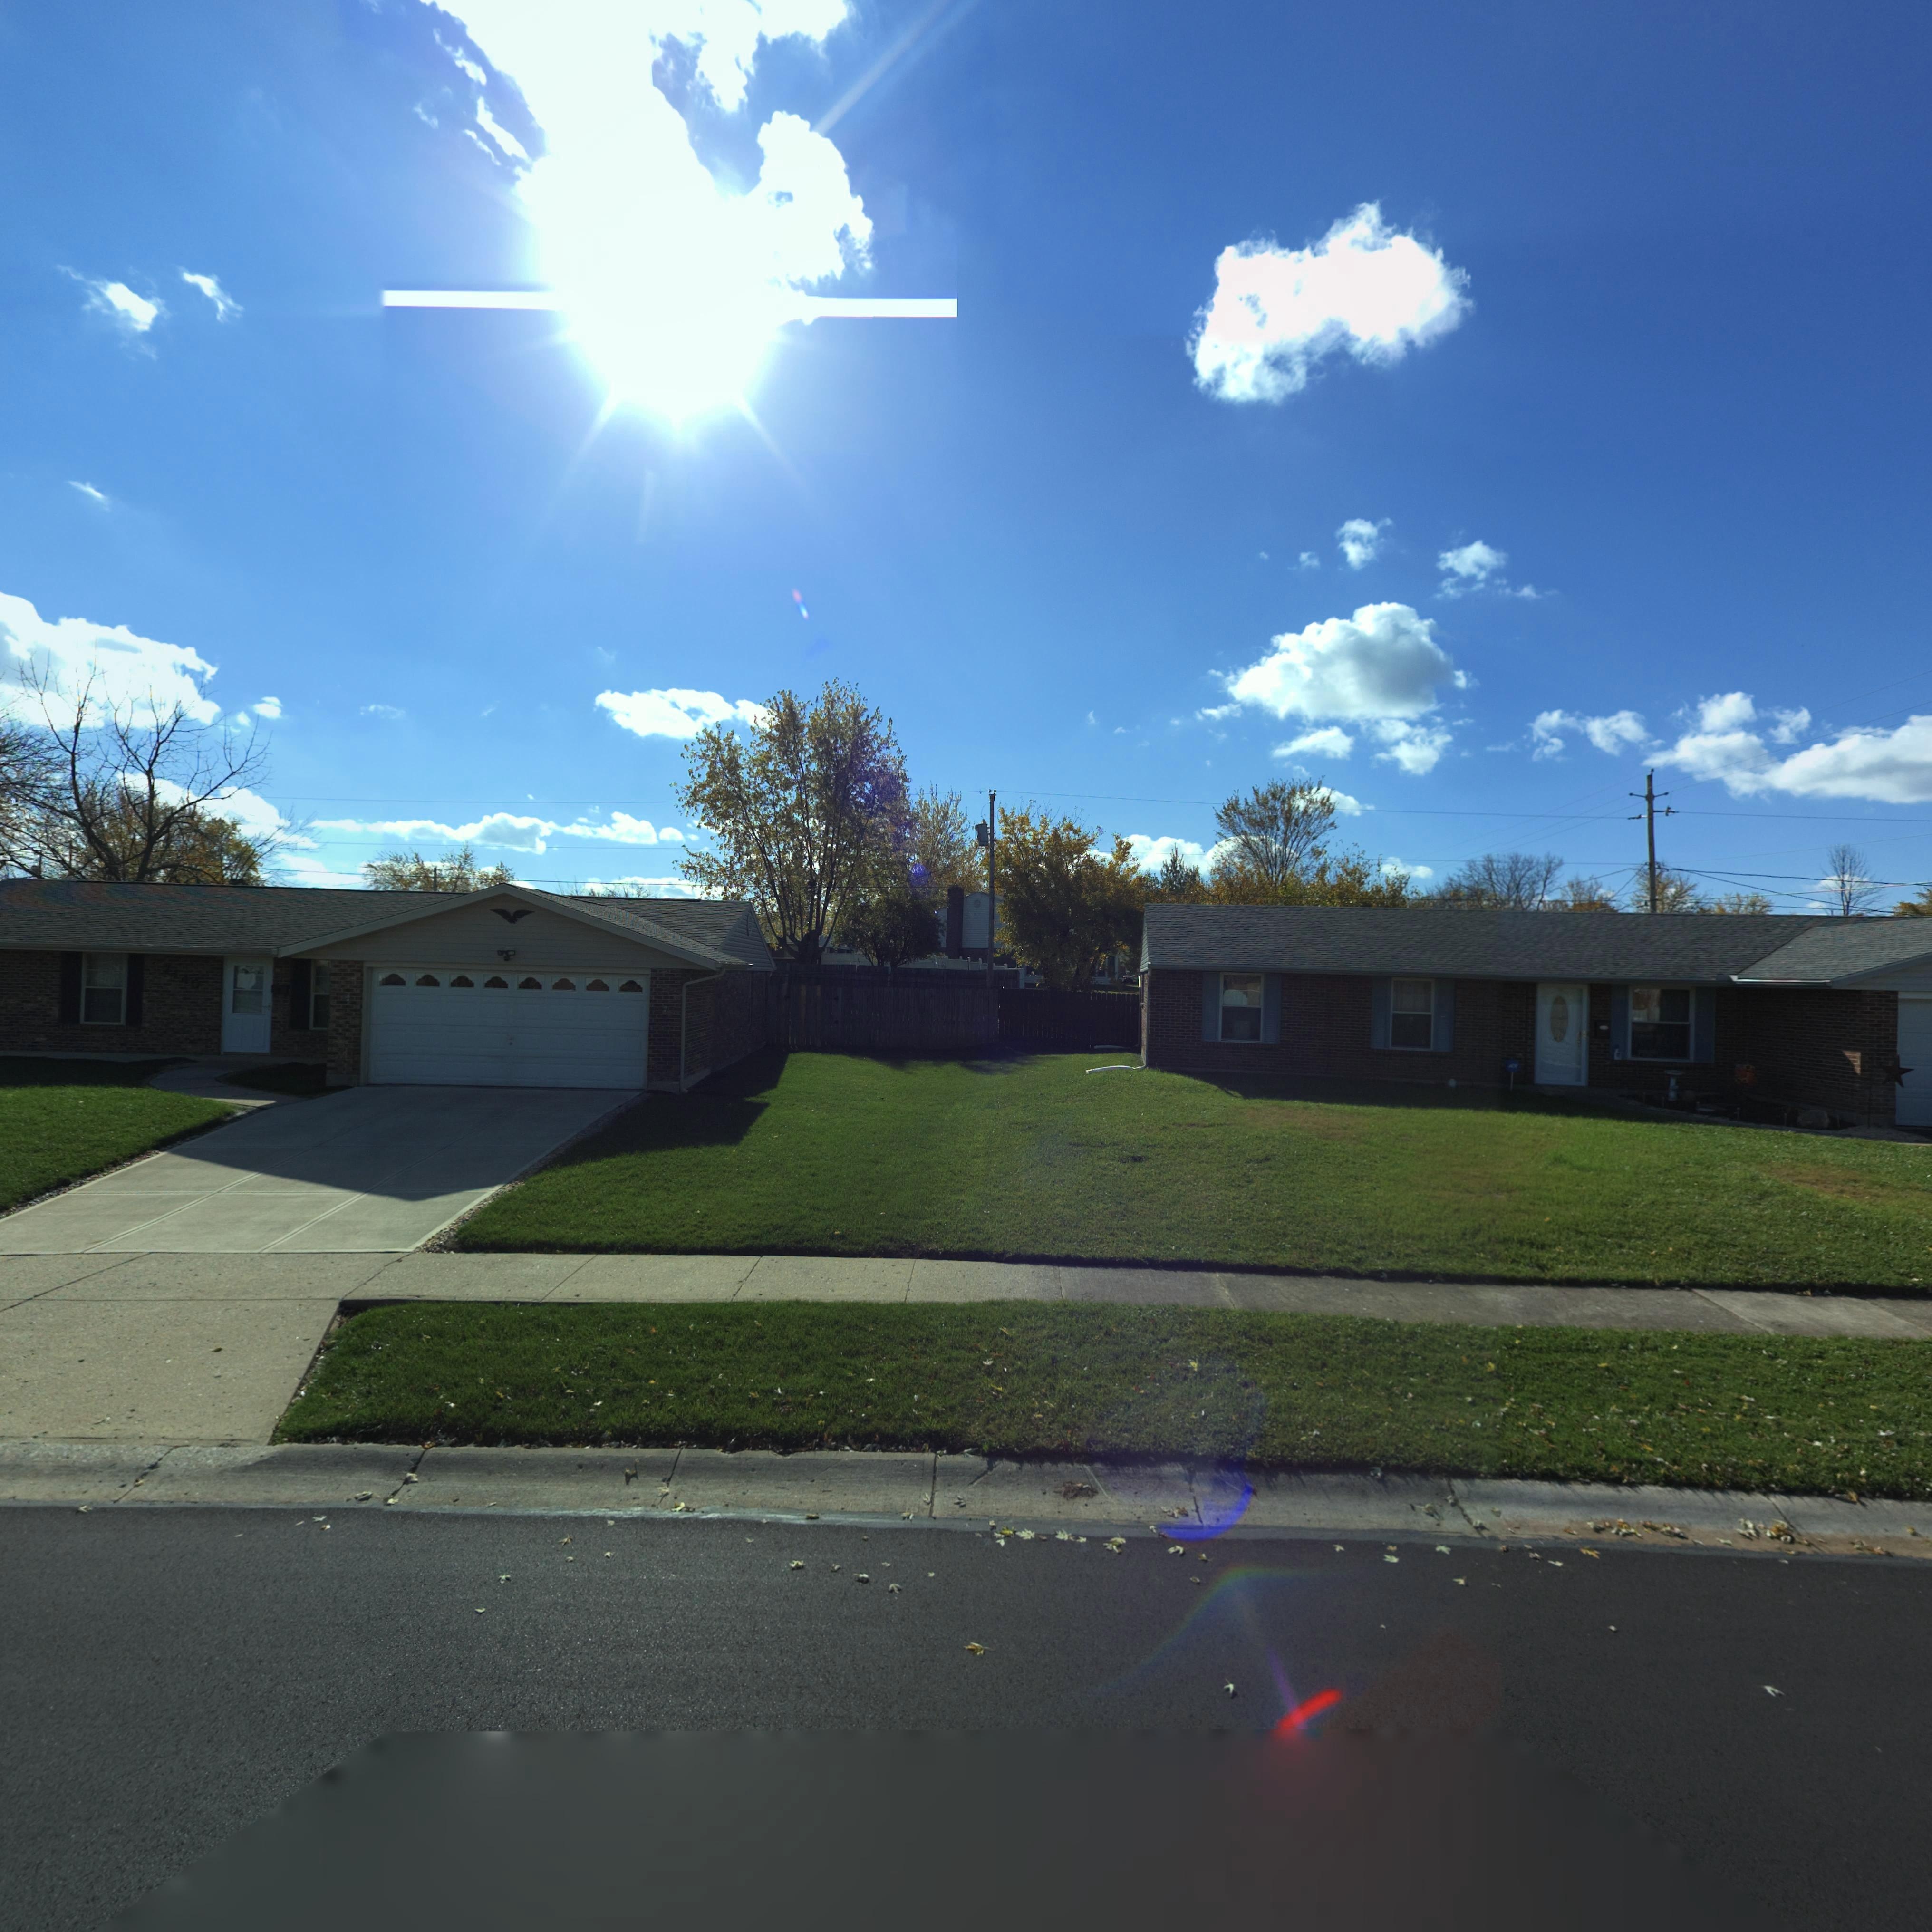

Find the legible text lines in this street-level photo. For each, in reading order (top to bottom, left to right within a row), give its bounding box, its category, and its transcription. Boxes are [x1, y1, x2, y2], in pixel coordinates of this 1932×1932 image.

[160, 963, 201, 990] StreetNumber: ***0